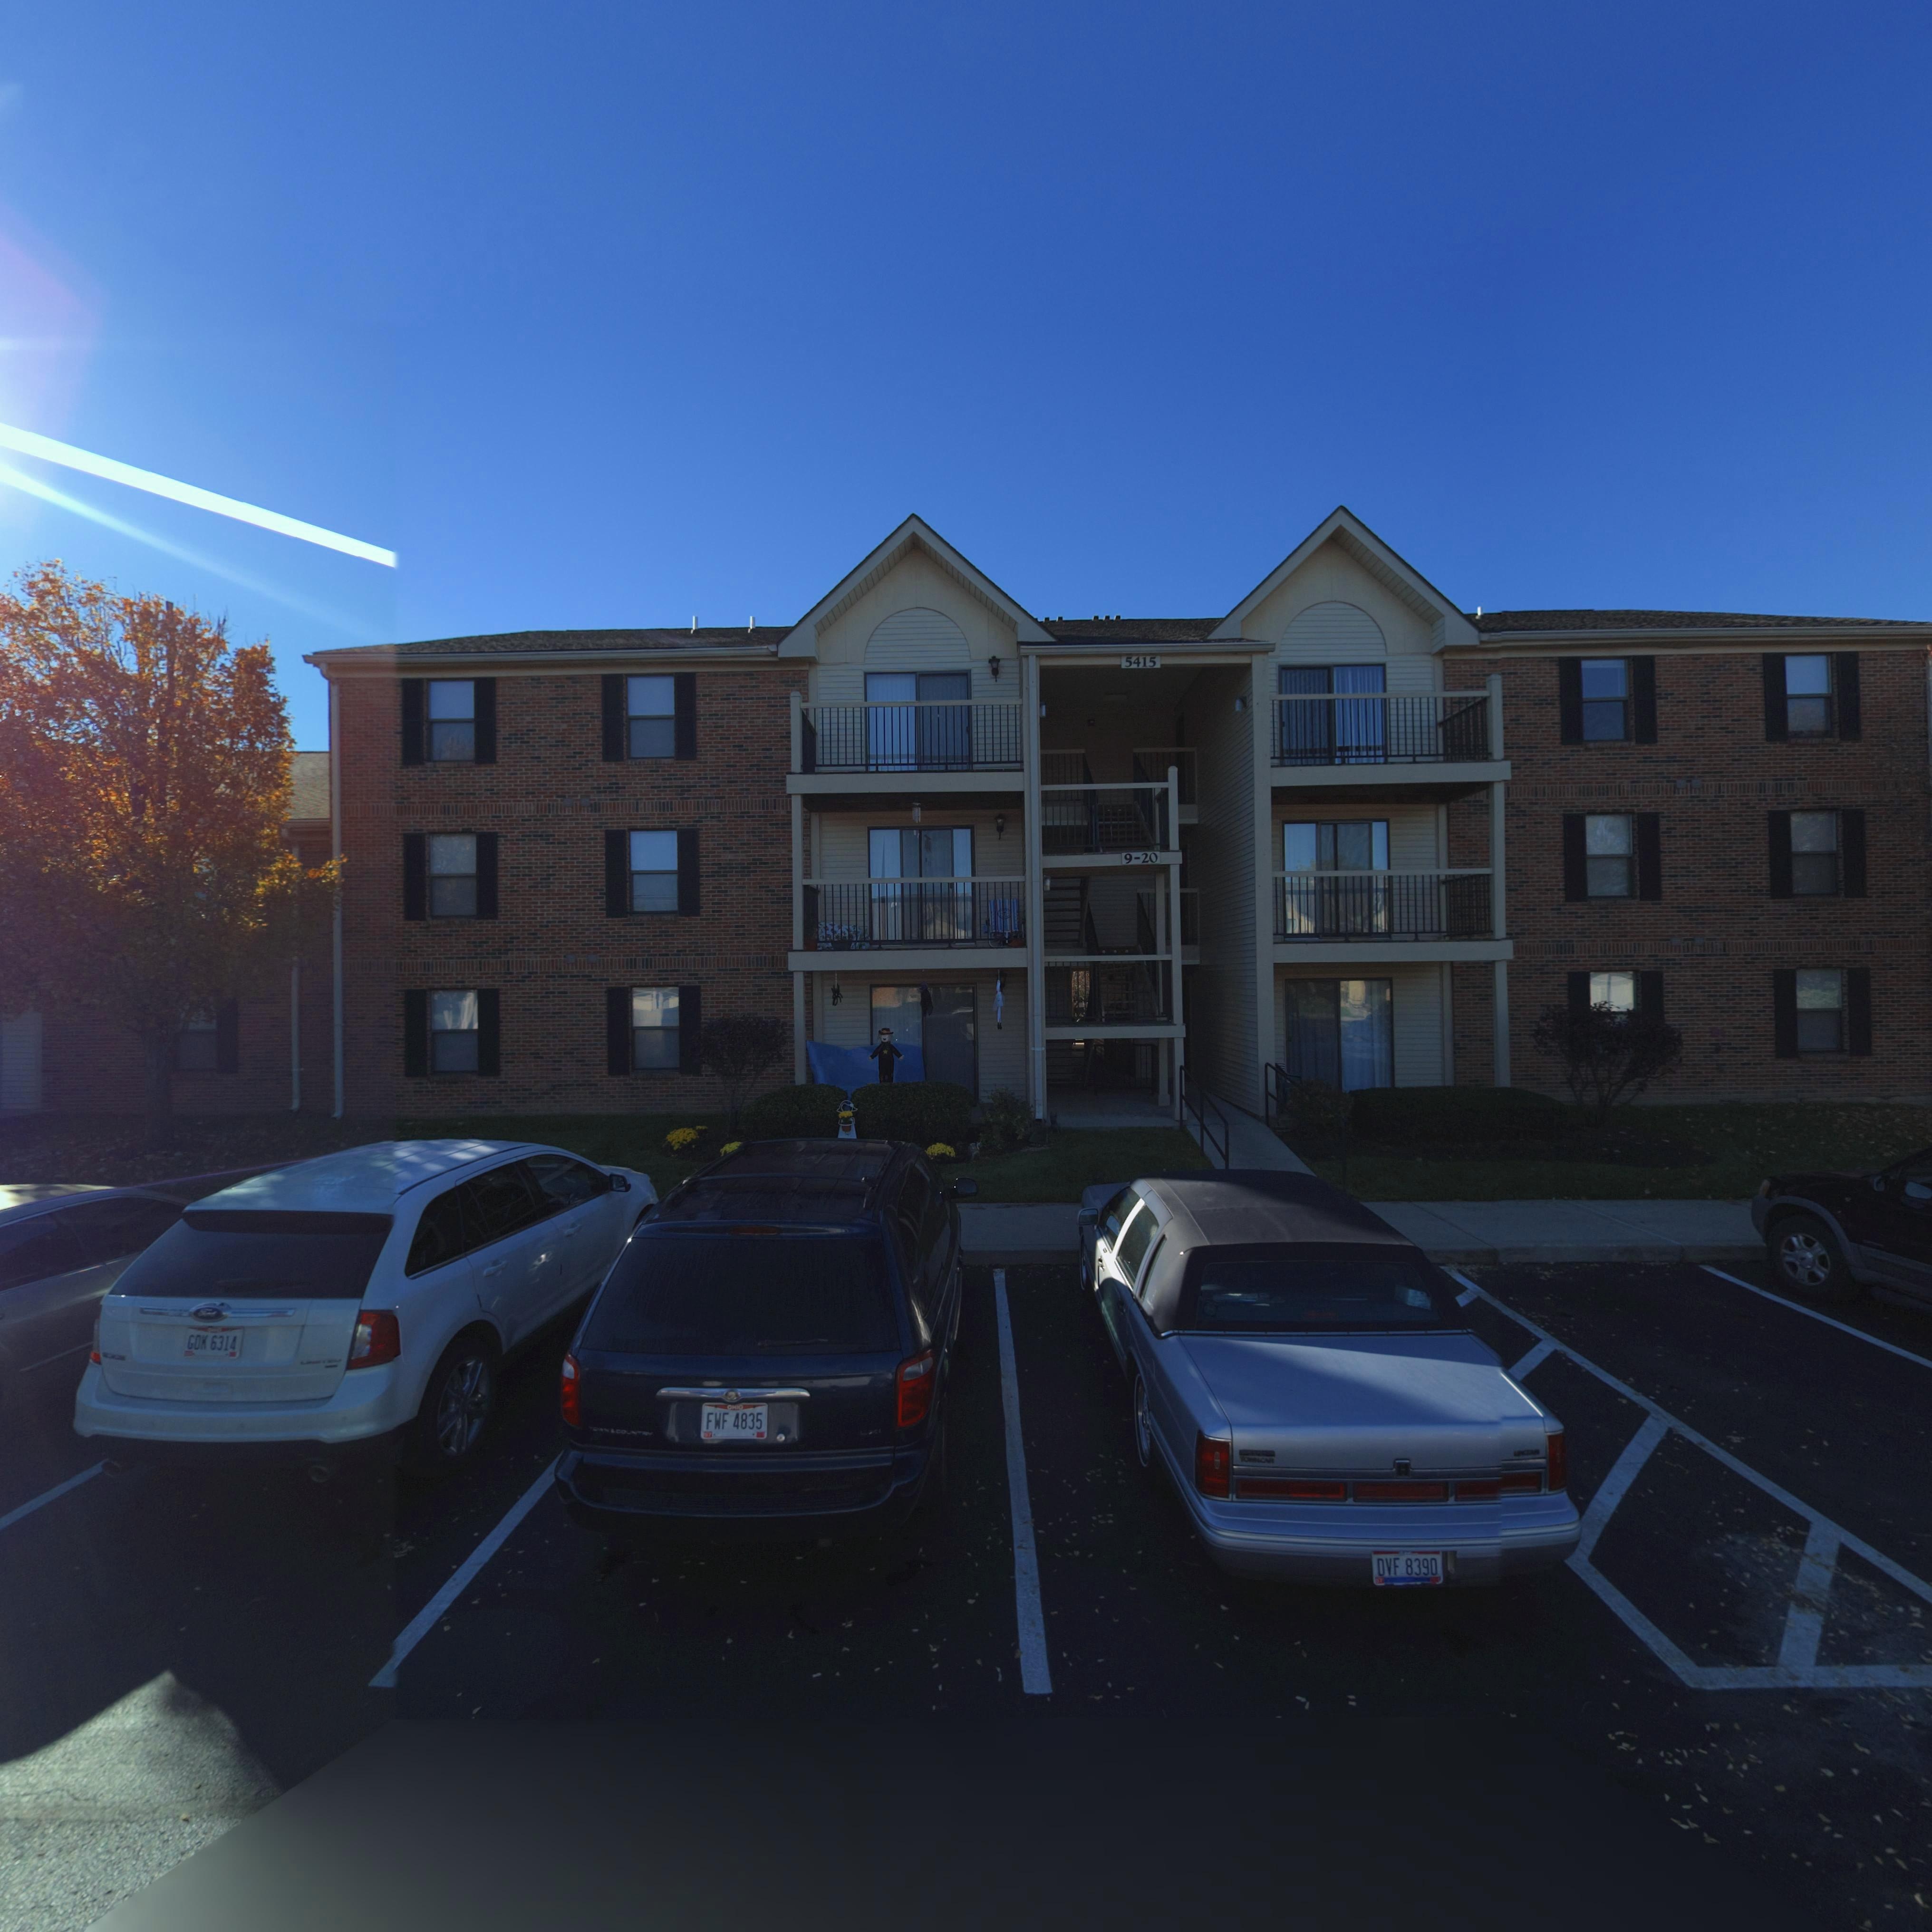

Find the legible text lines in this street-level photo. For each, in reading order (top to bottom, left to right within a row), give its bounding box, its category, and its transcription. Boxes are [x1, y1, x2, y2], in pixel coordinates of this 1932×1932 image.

[1124, 656, 1157, 668] StreetNumber: 5415
[1123, 851, 1159, 864] StreetNumber: 9-20